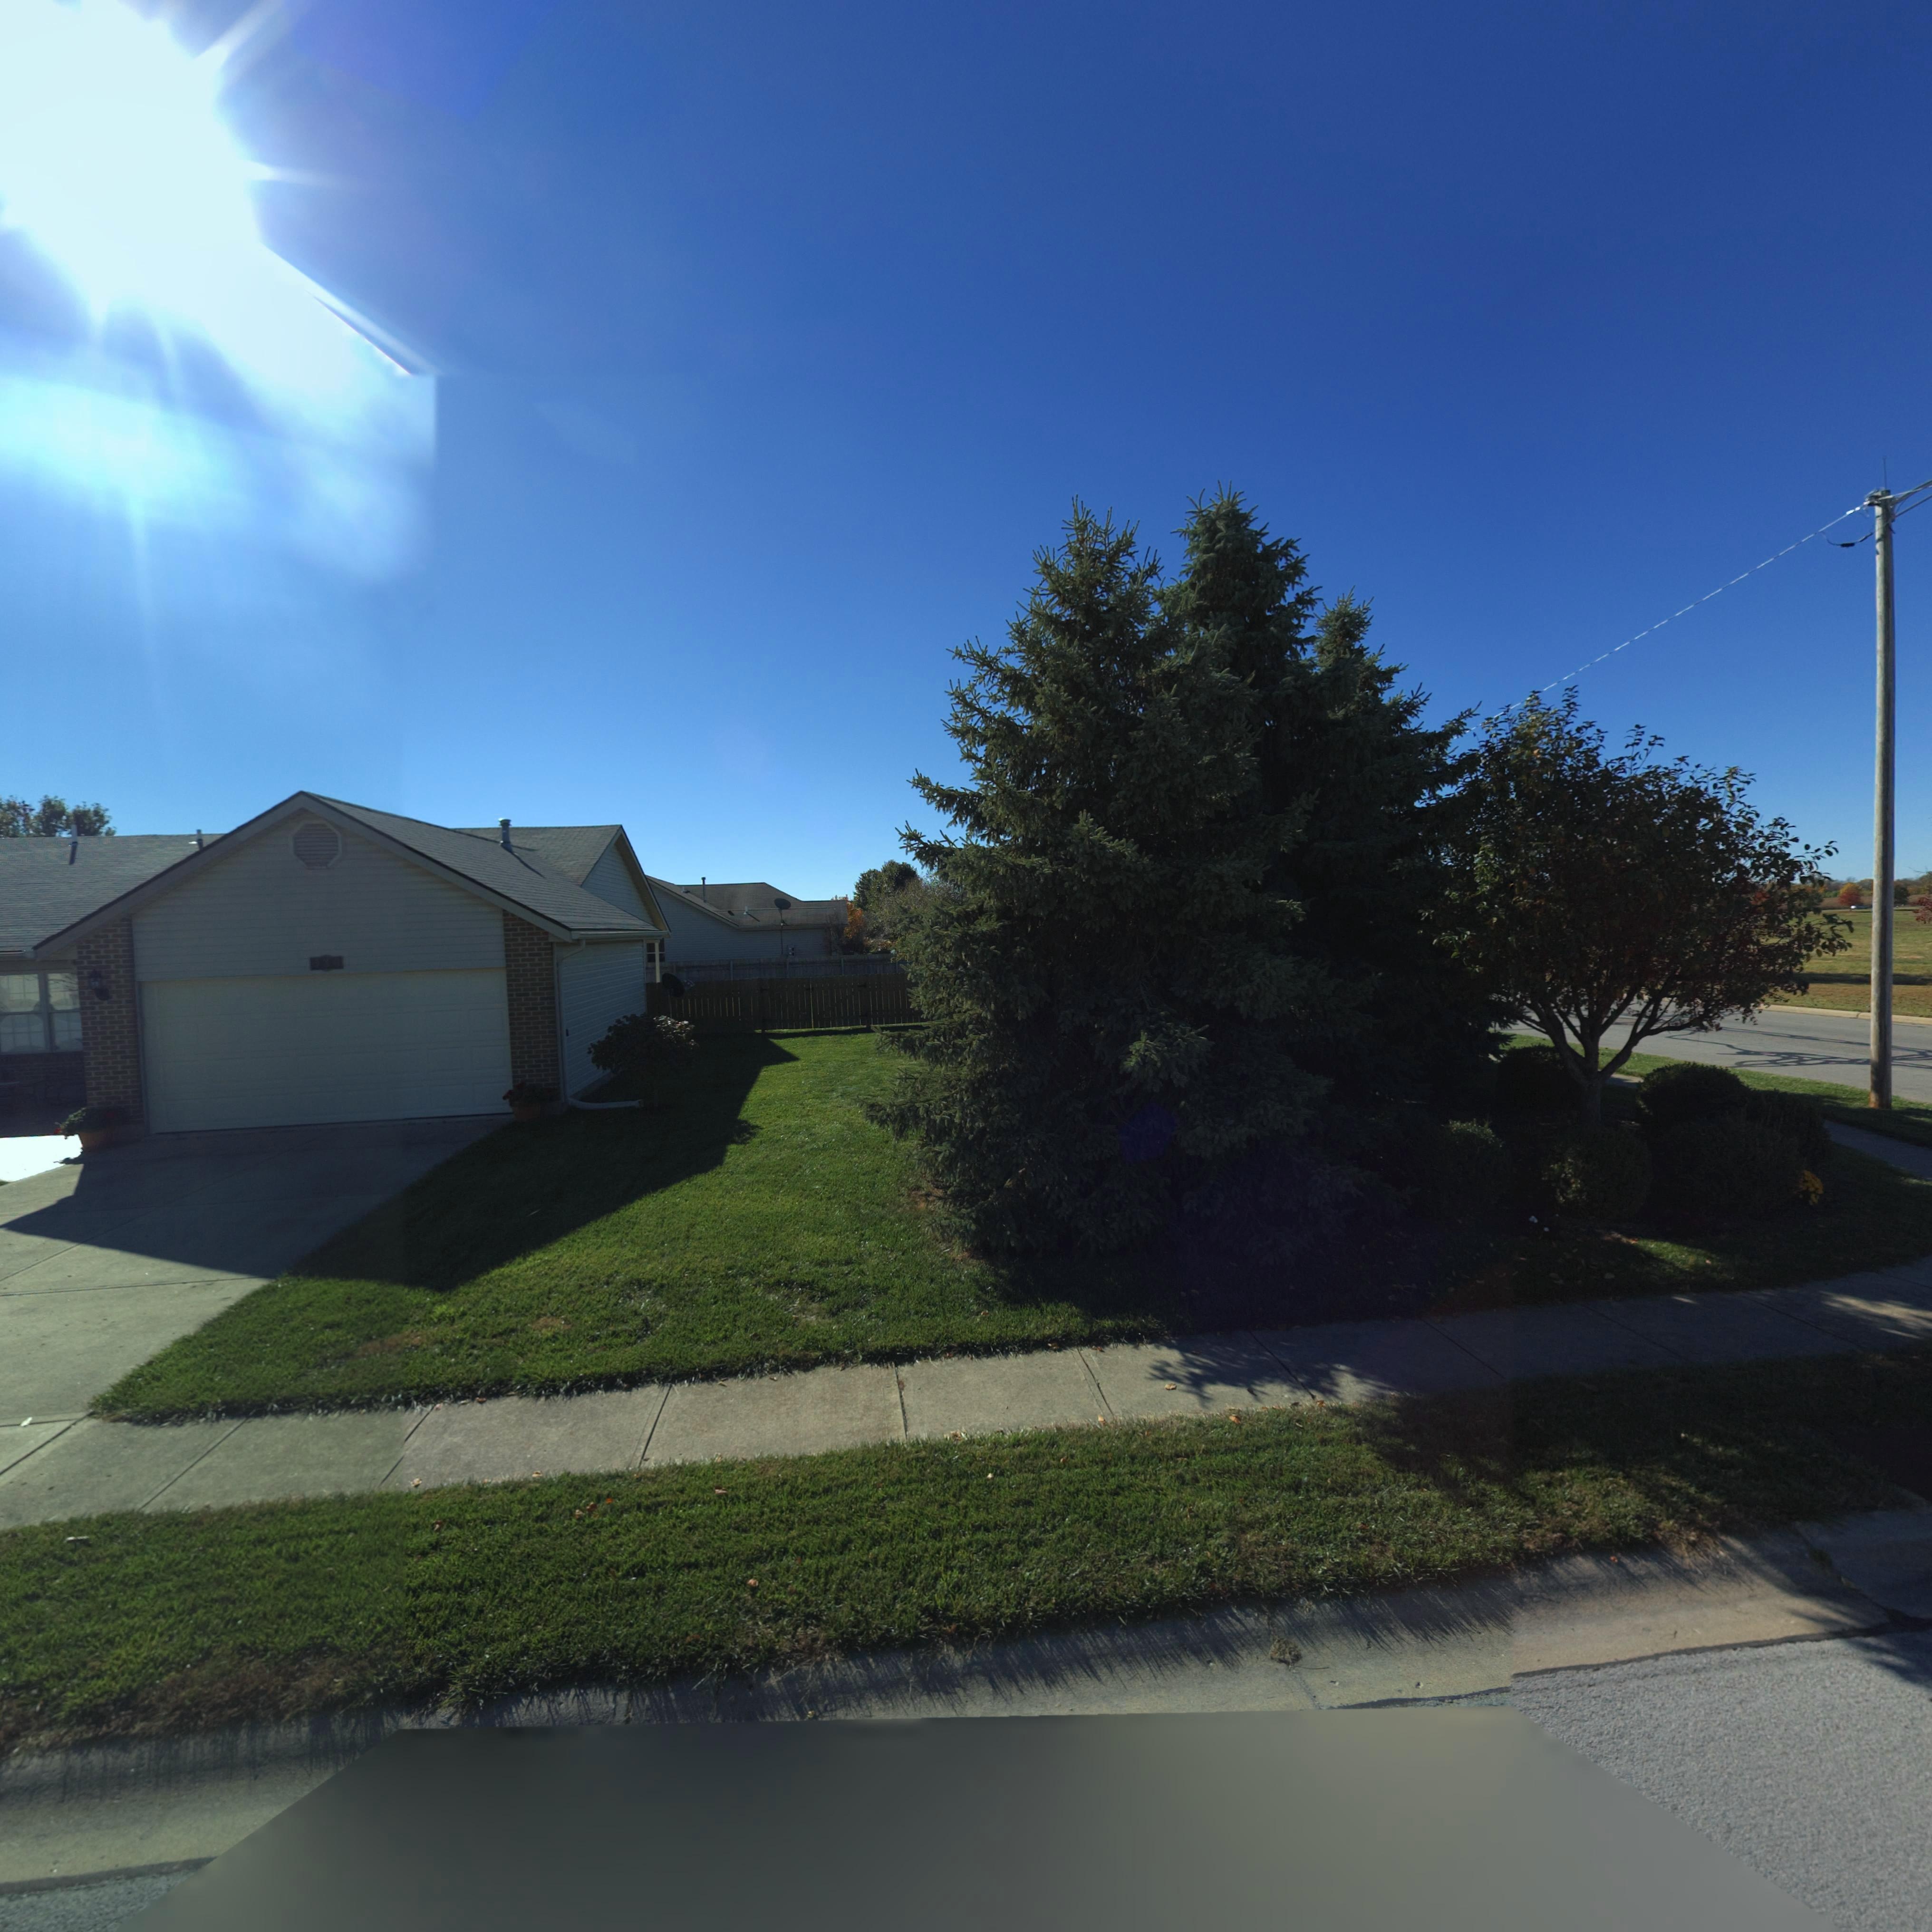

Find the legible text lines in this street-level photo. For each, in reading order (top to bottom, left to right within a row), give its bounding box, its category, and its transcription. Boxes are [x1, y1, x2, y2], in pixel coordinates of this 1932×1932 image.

[312, 956, 342, 970] StreetNumber: 1*0